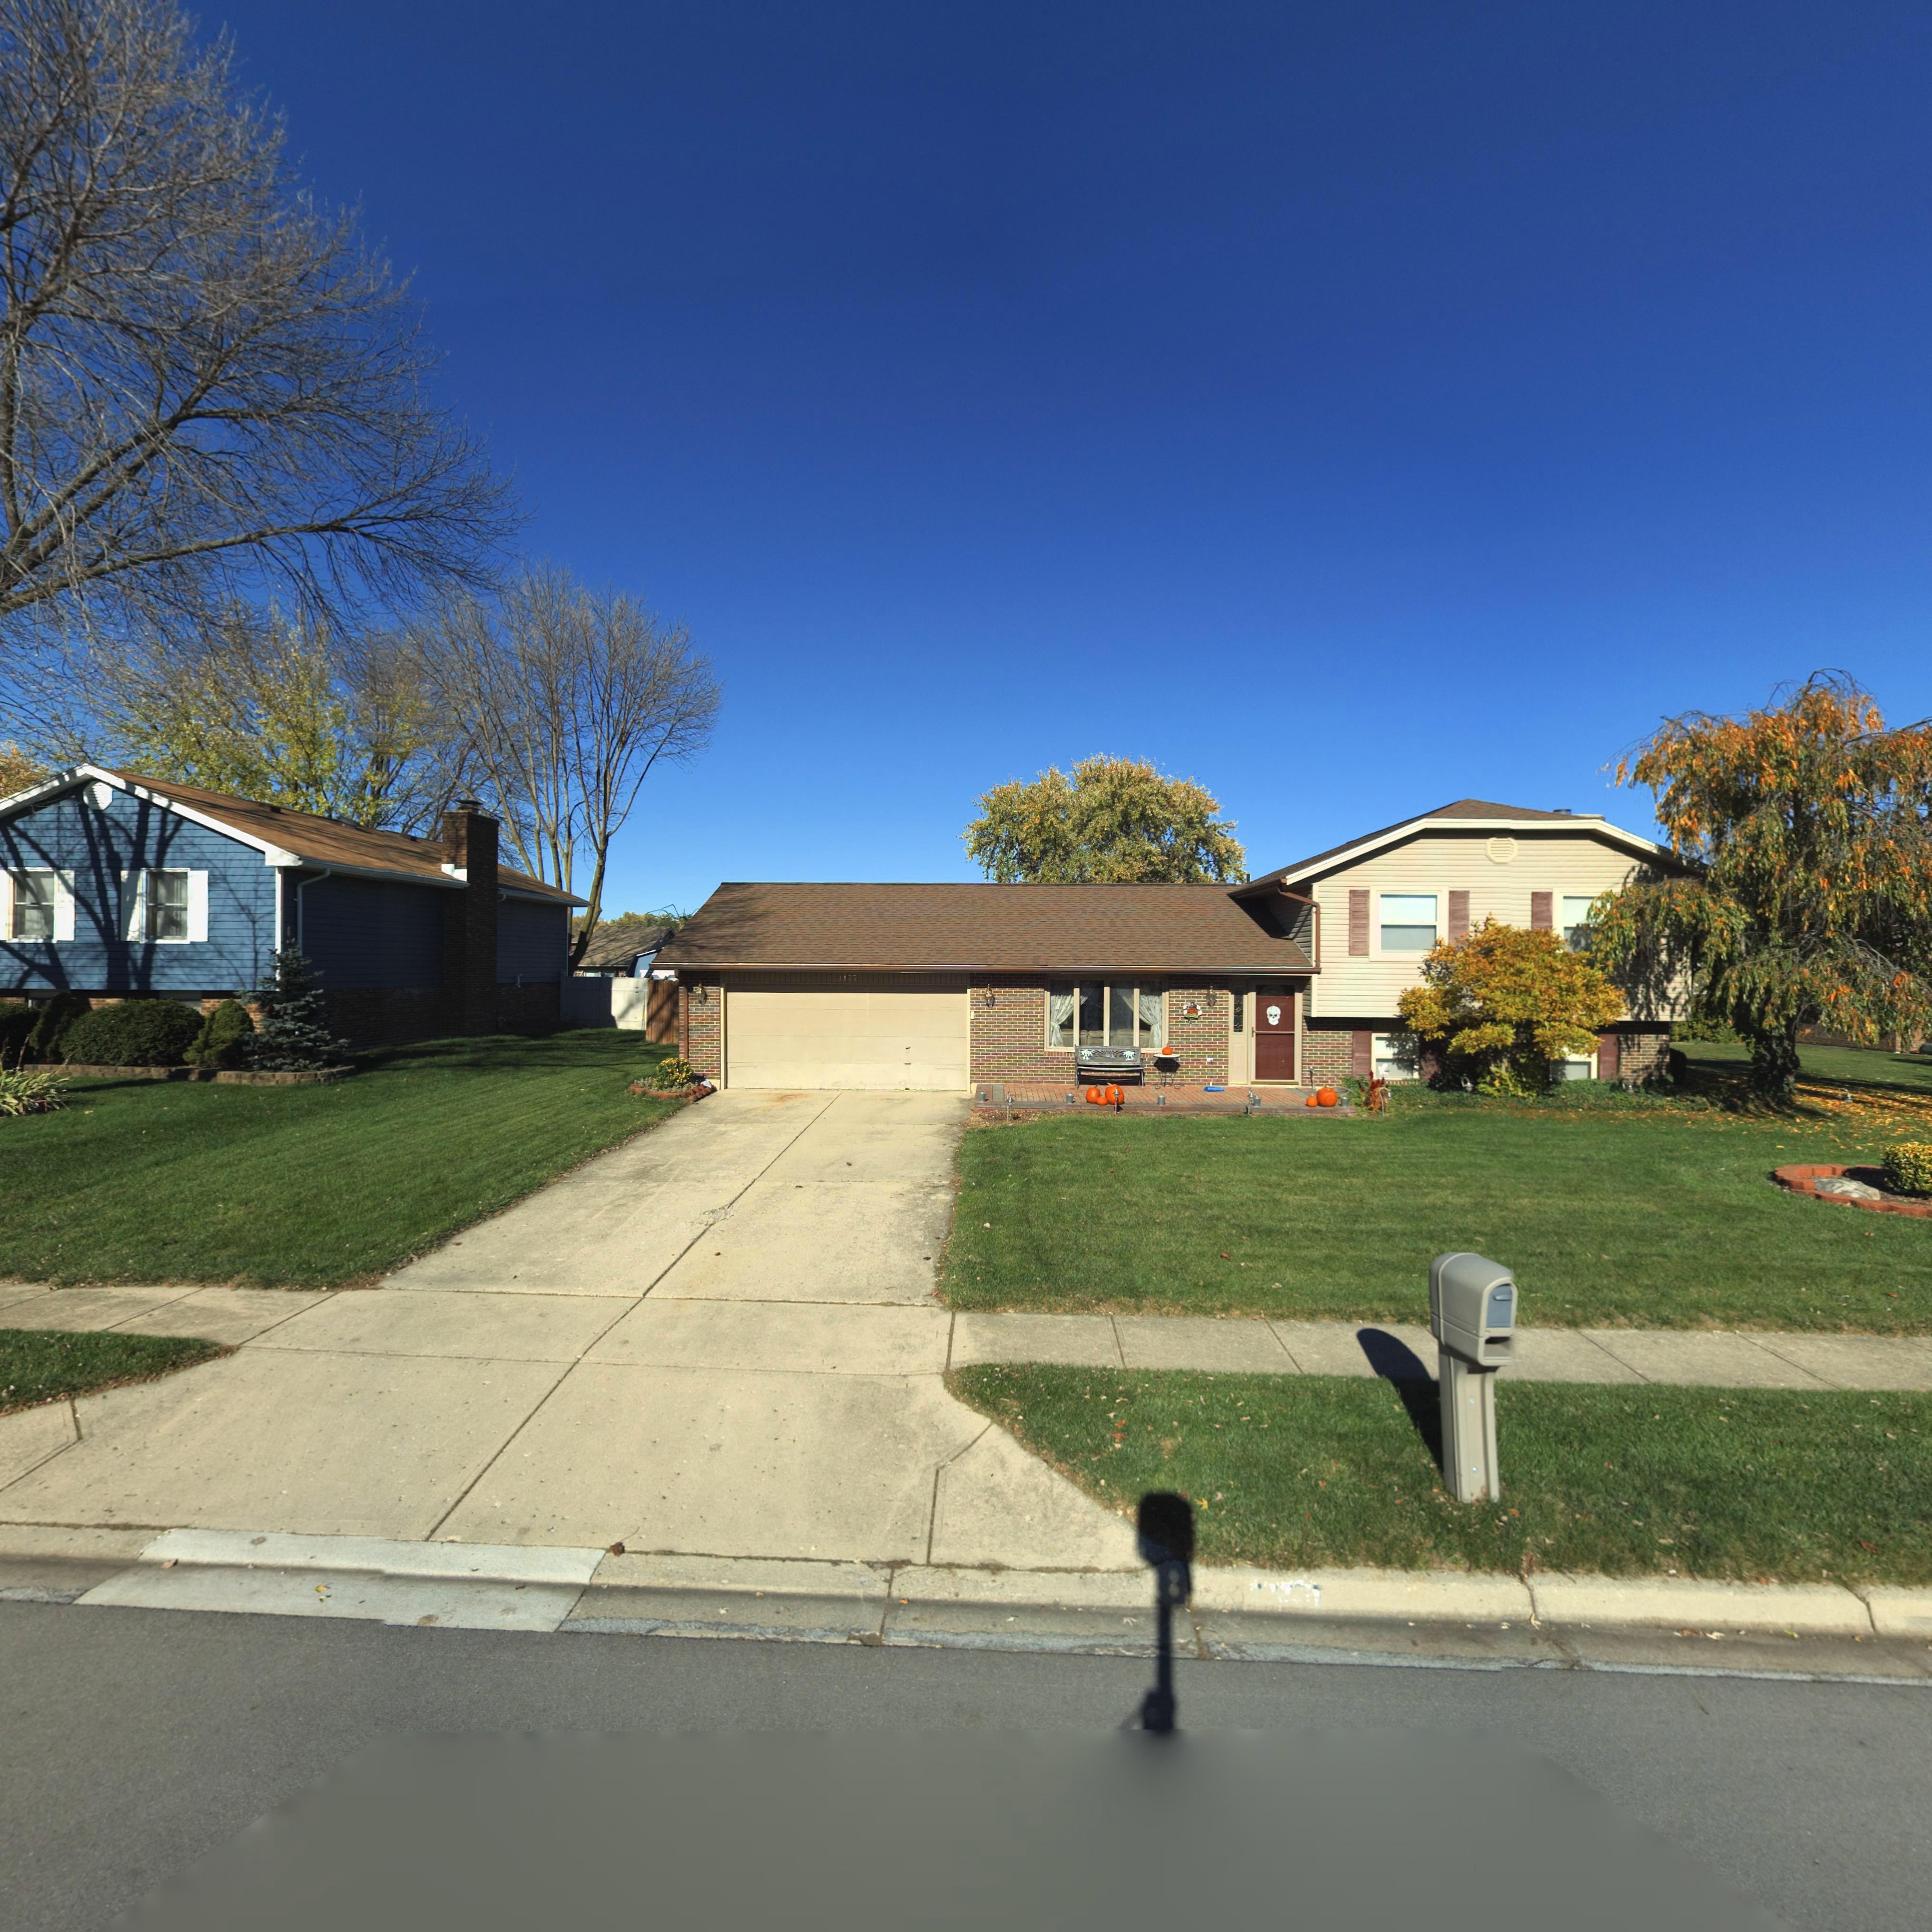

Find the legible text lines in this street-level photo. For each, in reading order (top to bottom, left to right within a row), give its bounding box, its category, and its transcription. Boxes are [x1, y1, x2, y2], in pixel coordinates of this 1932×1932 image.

[839, 974, 858, 982] StreetNumber: 1177